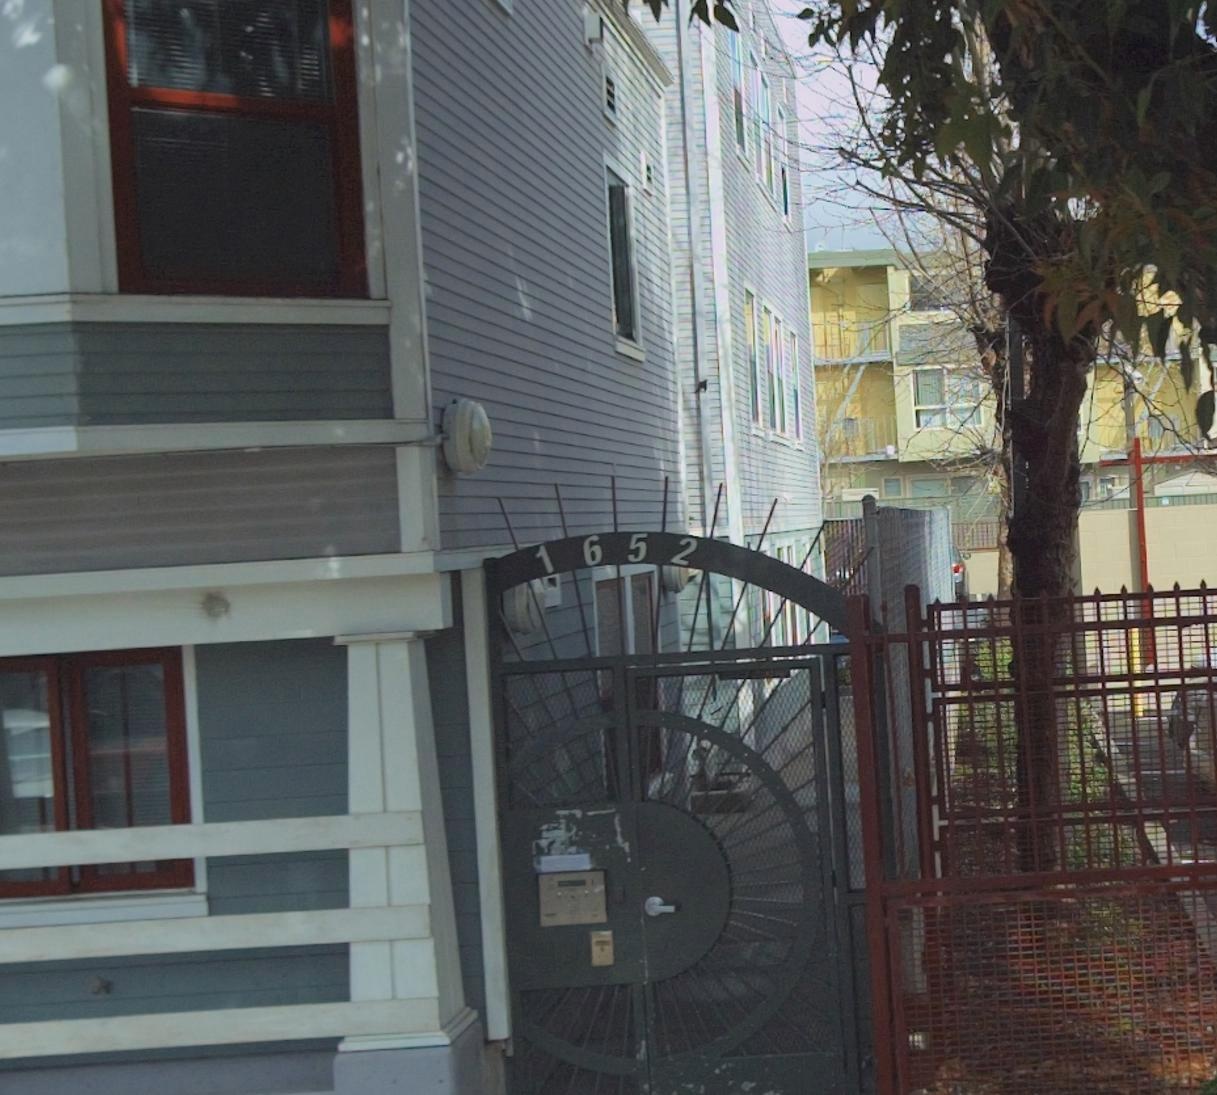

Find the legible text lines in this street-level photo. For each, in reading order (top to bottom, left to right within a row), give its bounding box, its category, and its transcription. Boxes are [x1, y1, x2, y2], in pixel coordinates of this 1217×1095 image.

[532, 530, 701, 578] StreetNumber: 1652